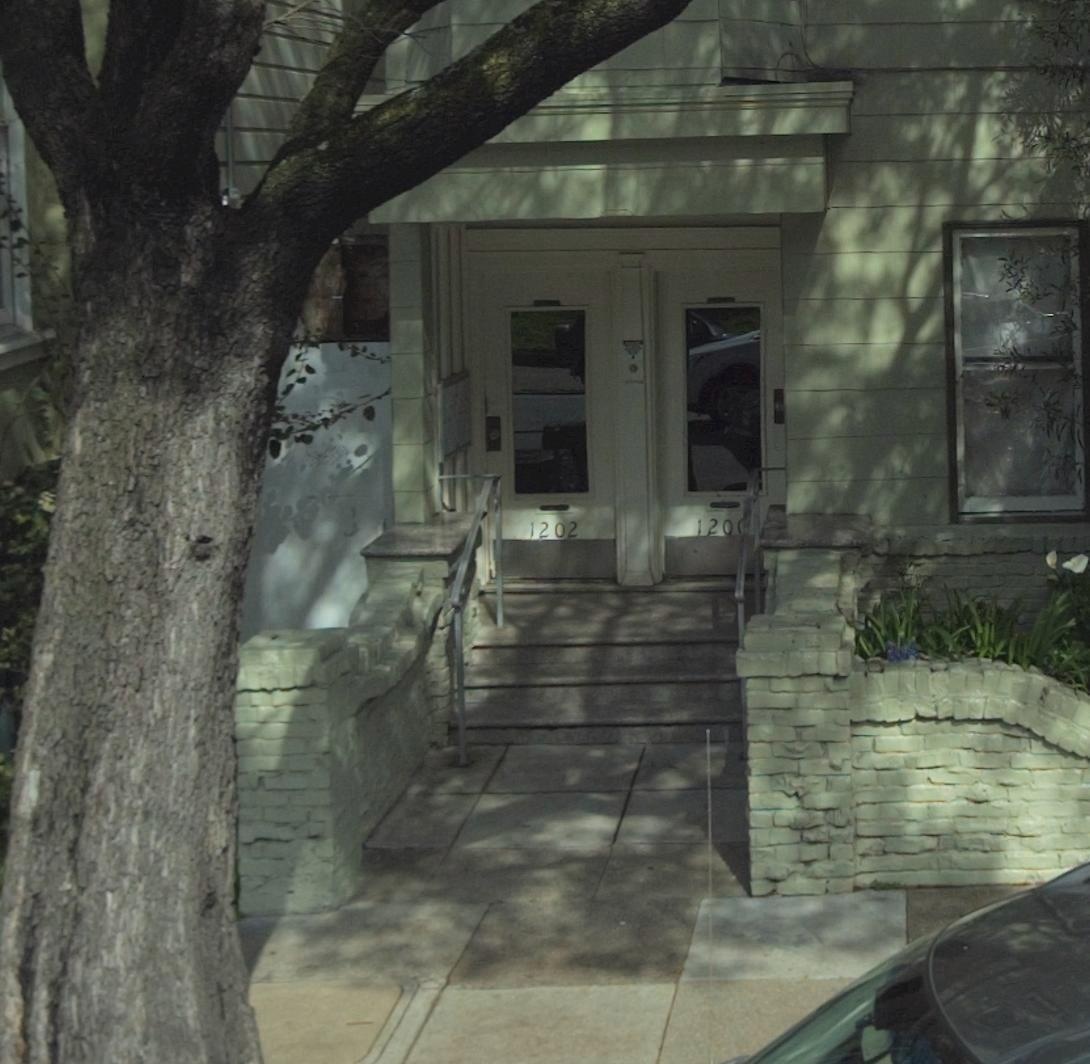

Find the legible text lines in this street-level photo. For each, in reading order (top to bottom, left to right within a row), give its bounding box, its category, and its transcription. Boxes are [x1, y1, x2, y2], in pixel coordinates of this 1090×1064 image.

[528, 519, 579, 540] StreetNumber: 1202
[695, 516, 734, 536] StreetNumber: 120